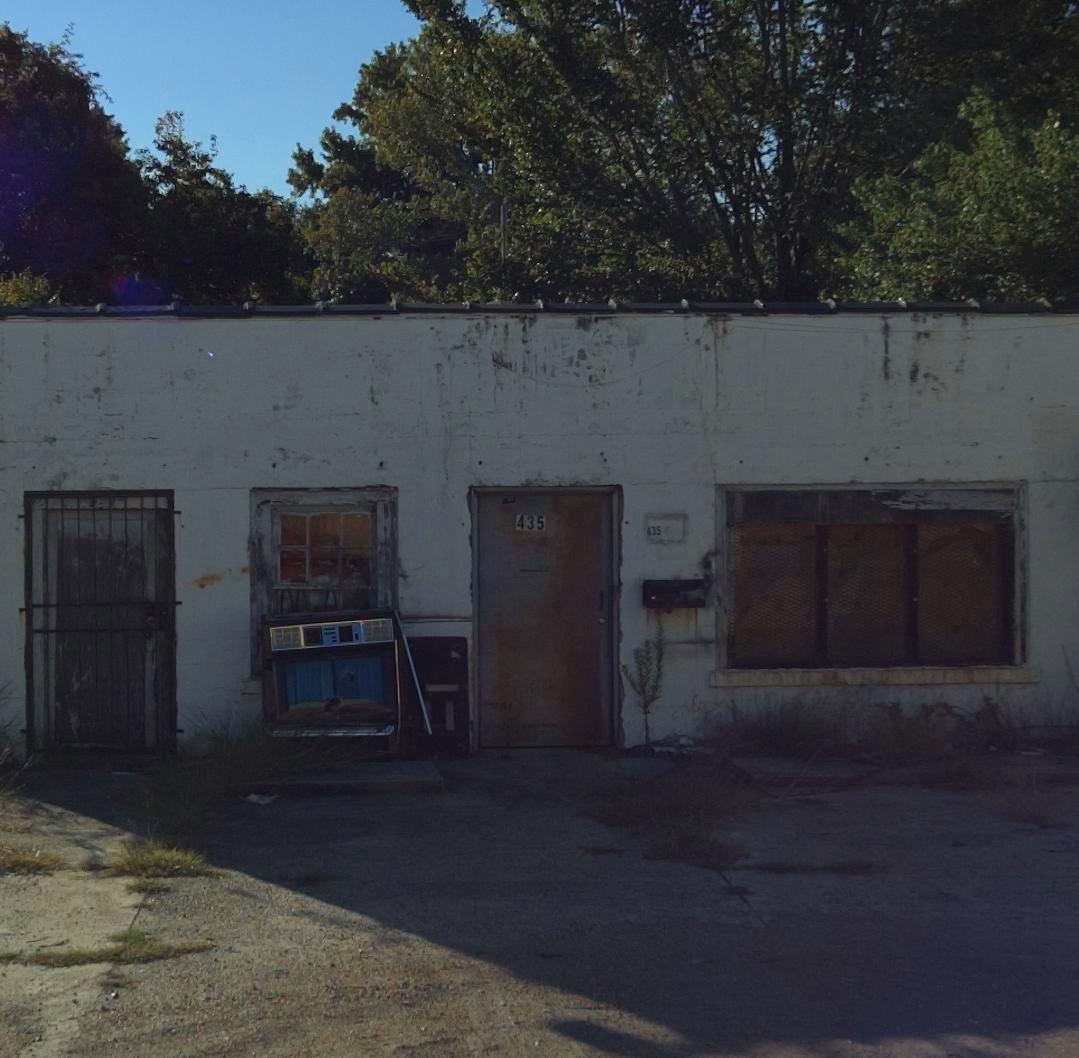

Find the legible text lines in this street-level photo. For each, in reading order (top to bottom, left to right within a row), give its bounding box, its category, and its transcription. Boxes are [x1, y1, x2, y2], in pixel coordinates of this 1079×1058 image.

[514, 513, 546, 534] StreetNumber: 435
[643, 523, 664, 538] StreetNumber: 435